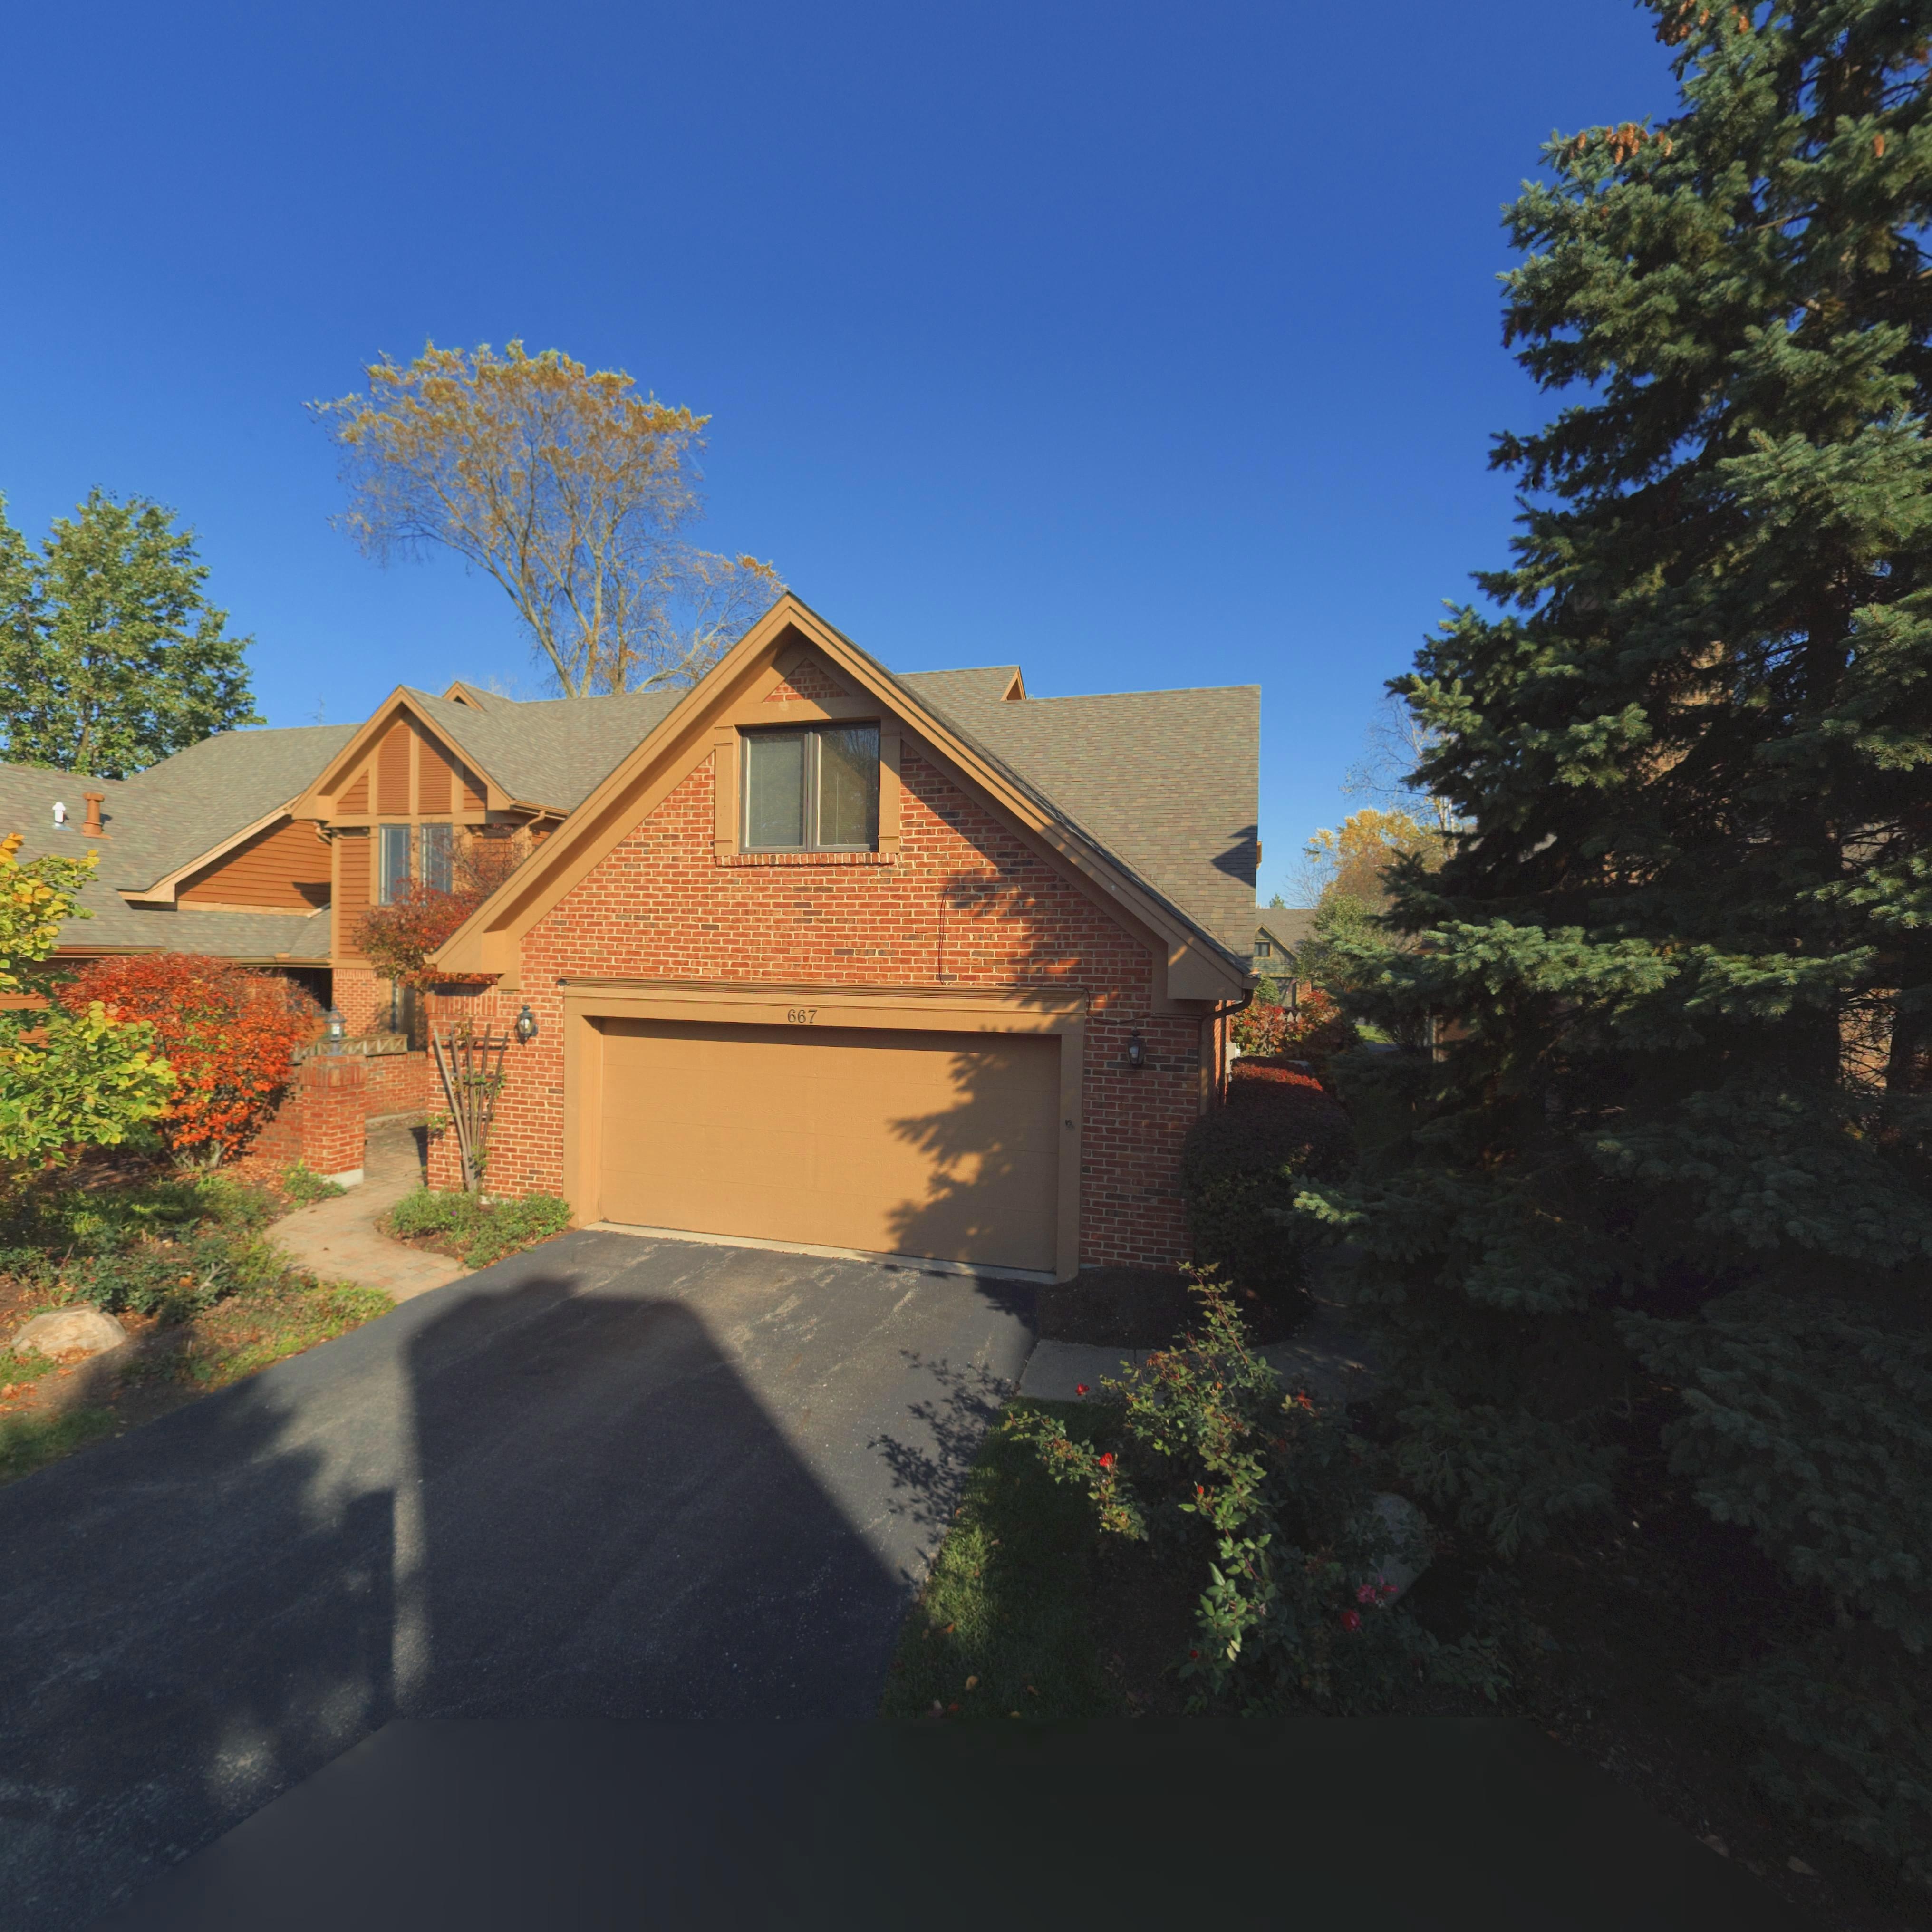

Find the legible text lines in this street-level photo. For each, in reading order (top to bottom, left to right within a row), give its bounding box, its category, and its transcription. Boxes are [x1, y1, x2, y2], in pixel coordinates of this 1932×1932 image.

[786, 1008, 819, 1024] StreetNumber: 667